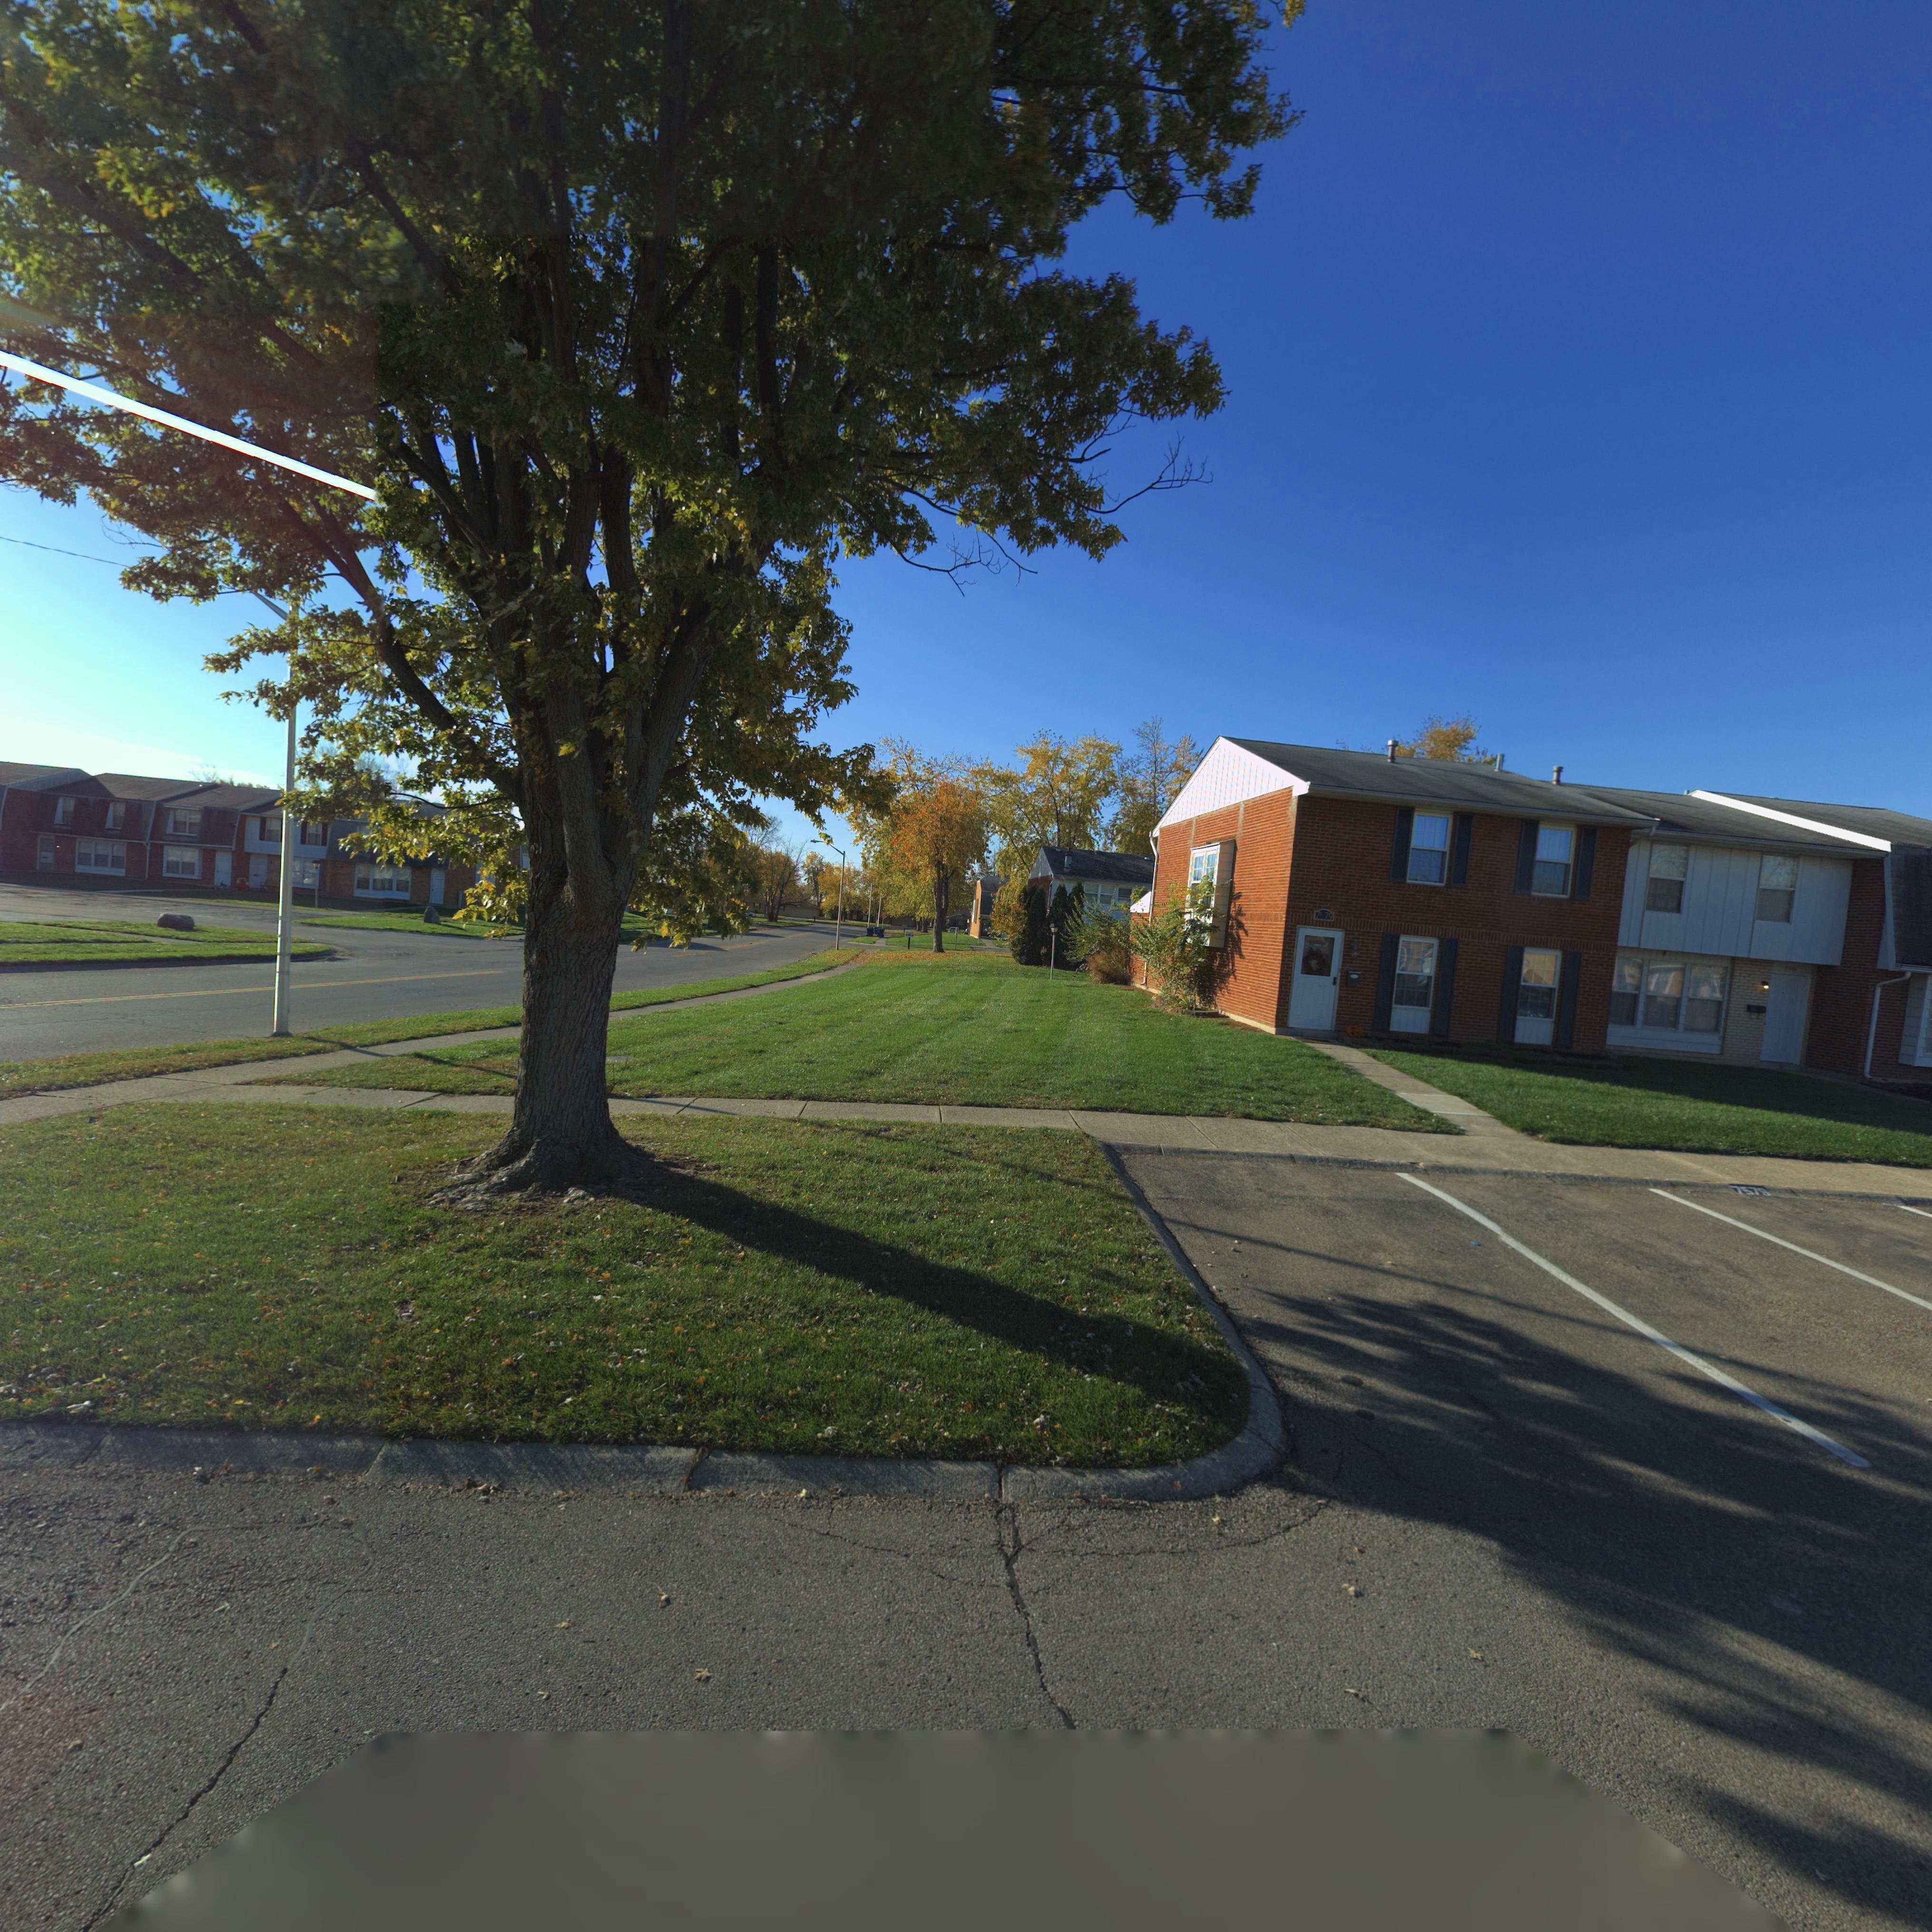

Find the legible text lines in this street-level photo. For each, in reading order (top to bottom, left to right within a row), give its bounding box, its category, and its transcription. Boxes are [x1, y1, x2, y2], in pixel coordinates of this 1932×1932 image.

[1315, 911, 1334, 920] StreetNumber: 7579
[1784, 965, 1798, 972] StreetNumber: 7***